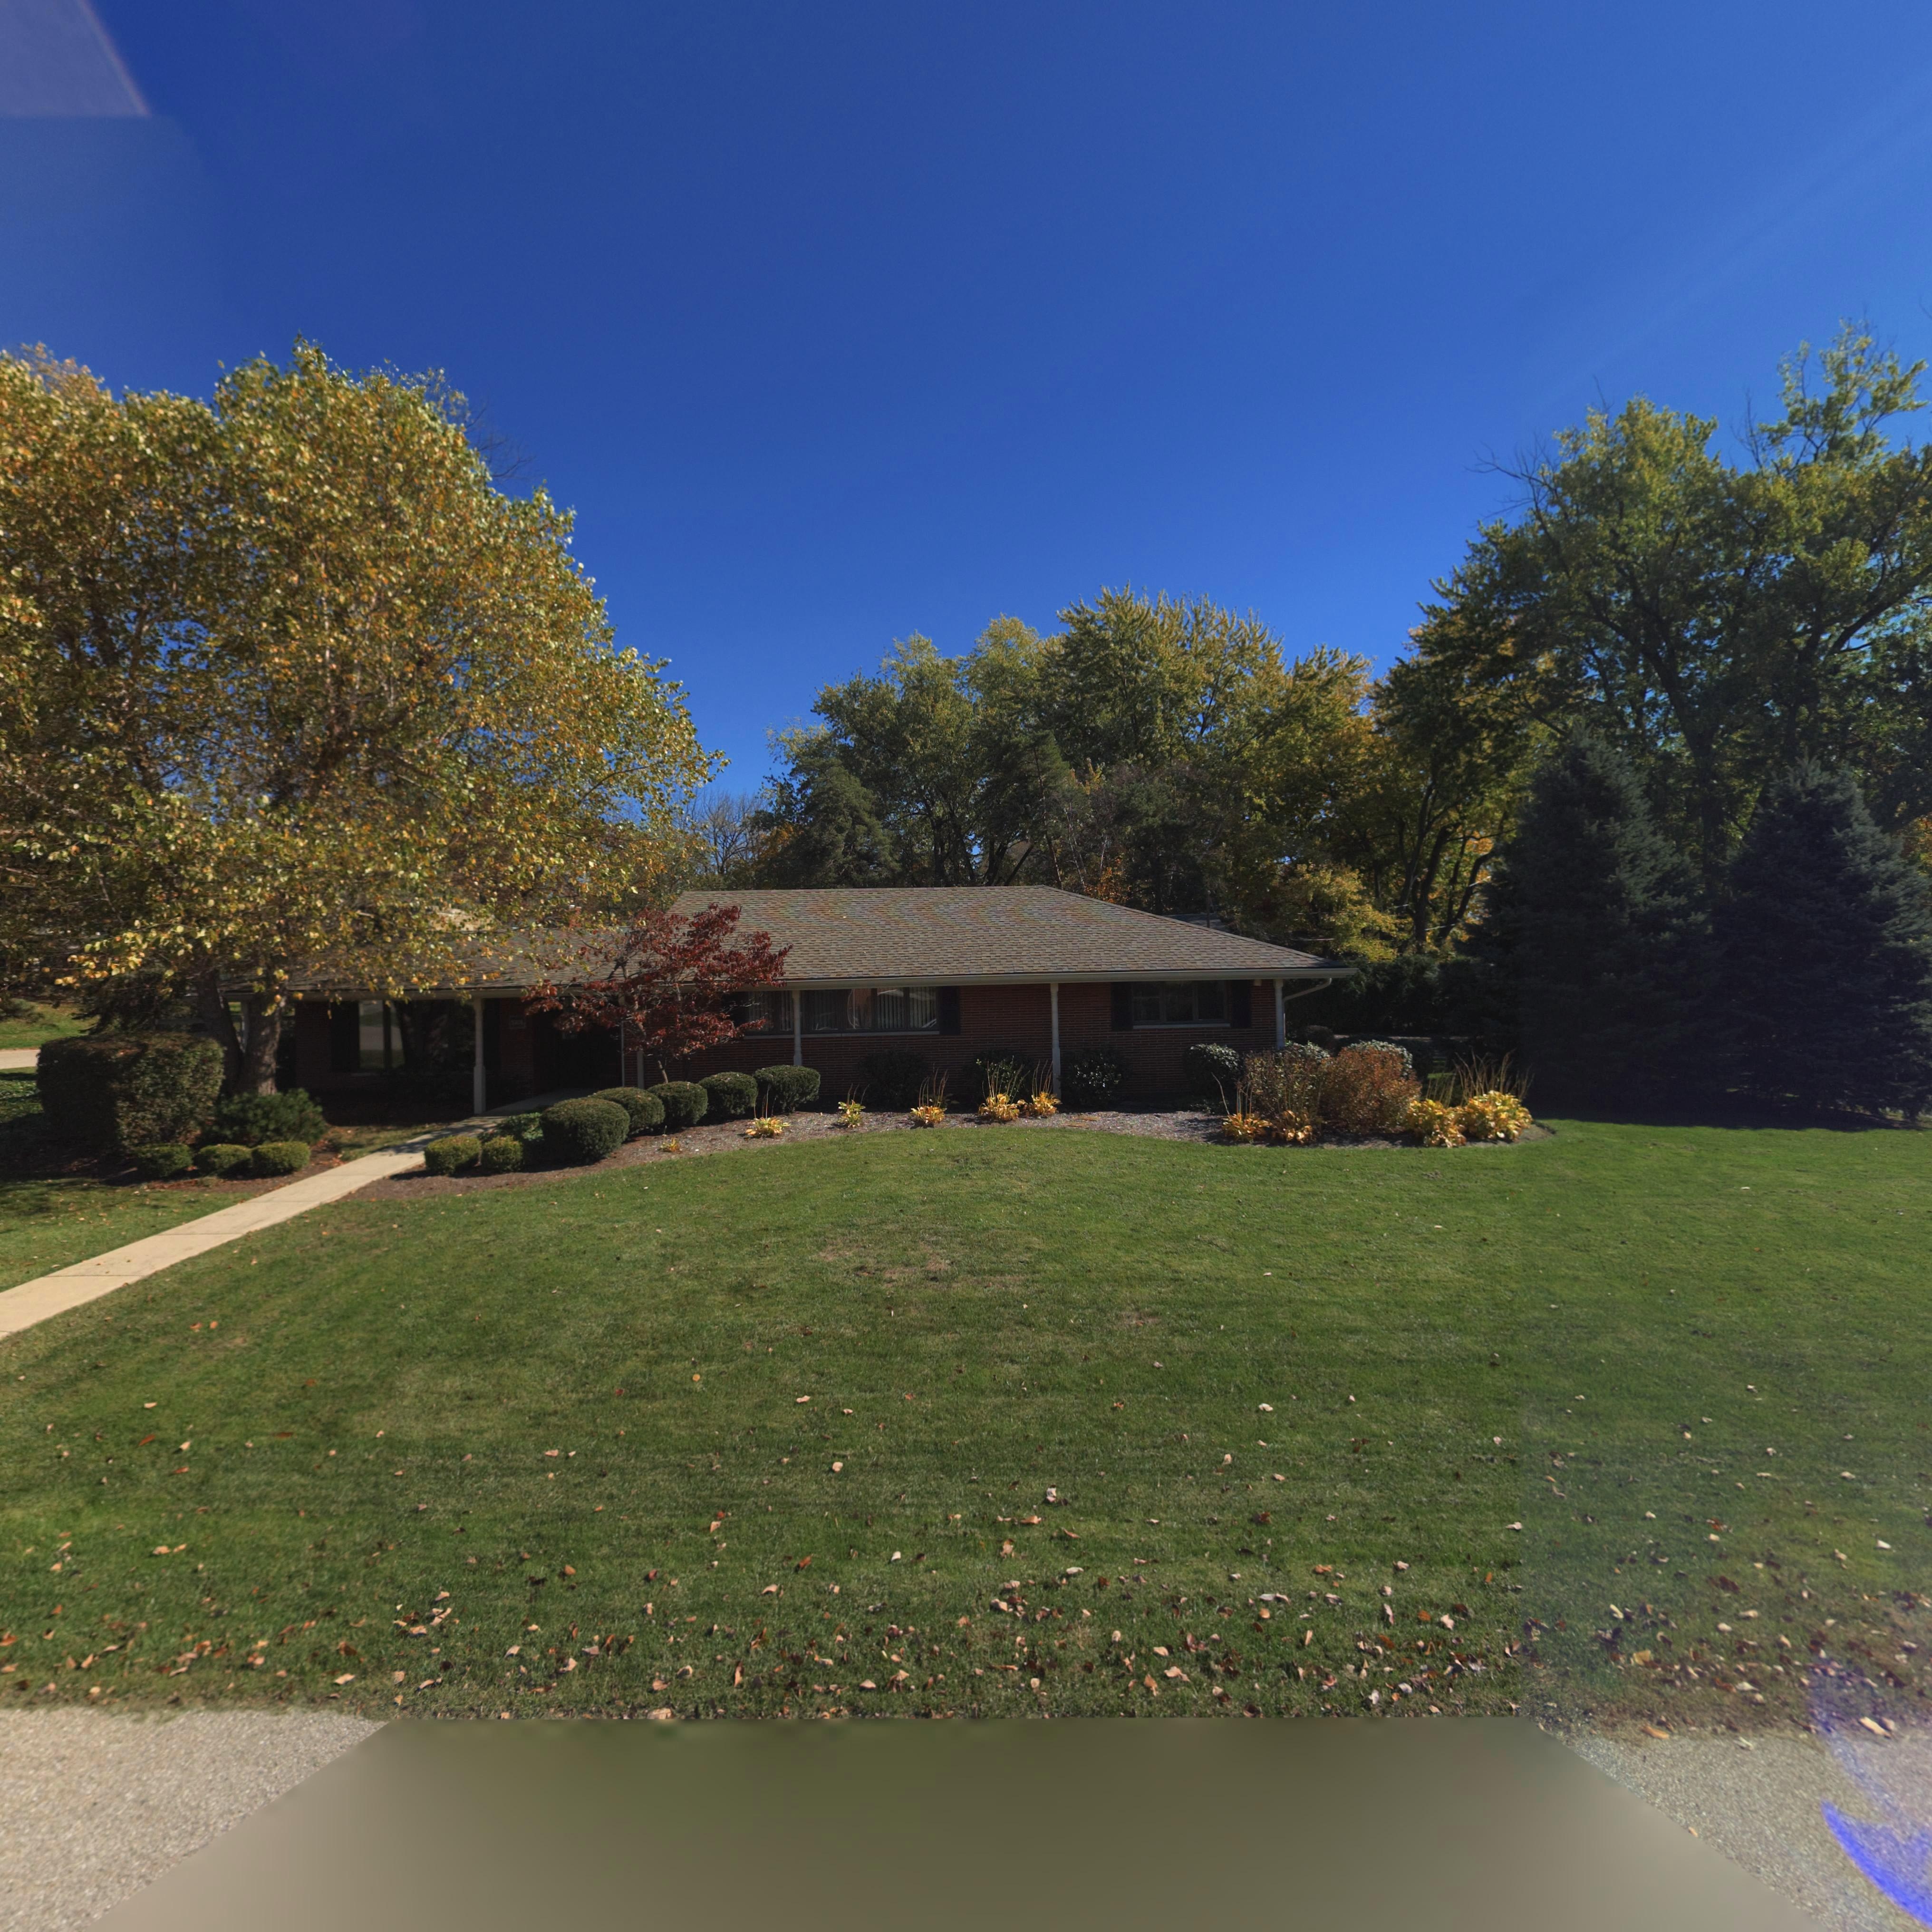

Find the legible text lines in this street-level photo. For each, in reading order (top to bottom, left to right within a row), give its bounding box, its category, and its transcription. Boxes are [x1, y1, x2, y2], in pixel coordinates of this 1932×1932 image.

[510, 1019, 524, 1026] StreetNumber: 5208